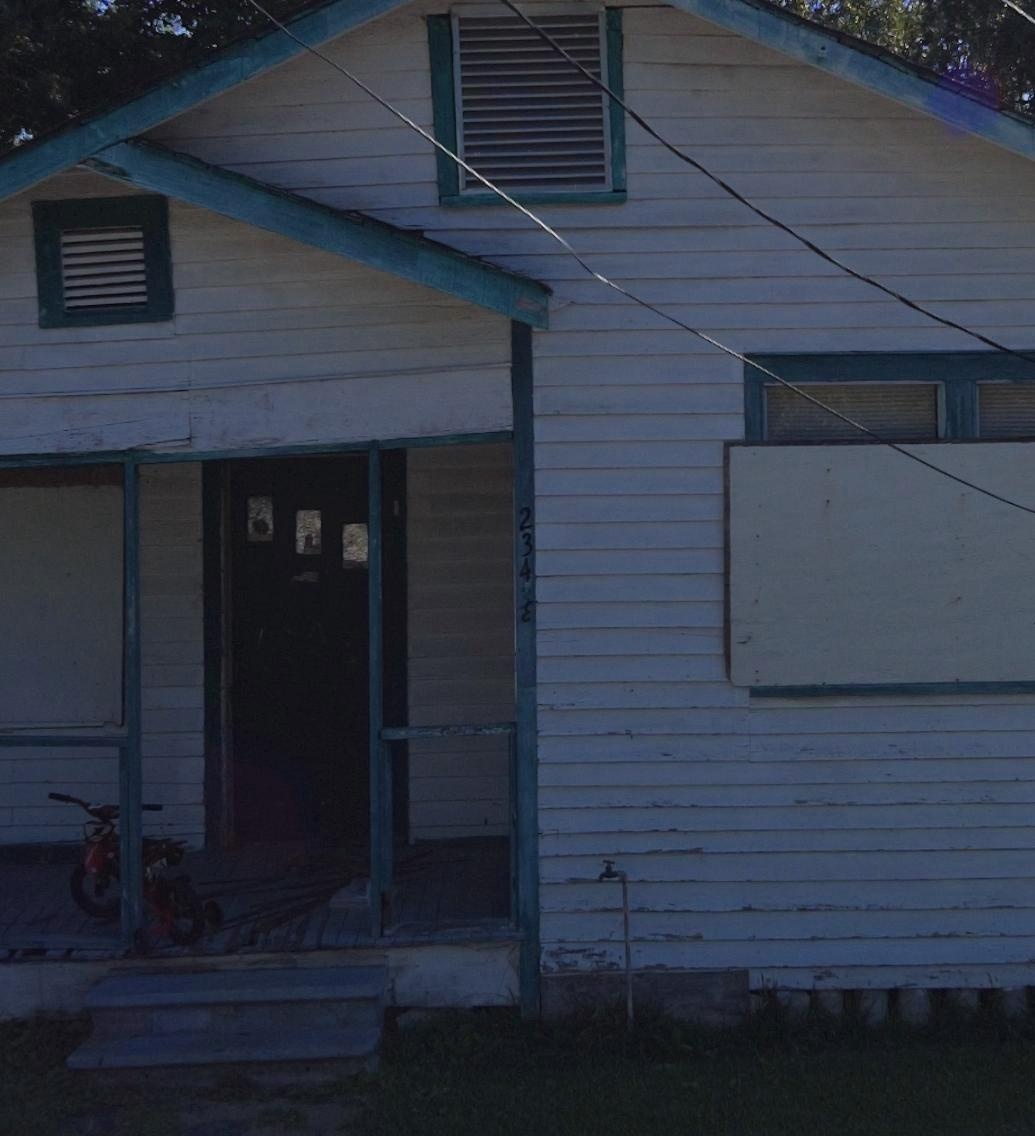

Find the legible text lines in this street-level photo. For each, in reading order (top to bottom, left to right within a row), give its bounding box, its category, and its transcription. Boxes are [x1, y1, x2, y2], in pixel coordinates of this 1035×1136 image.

[517, 506, 535, 585] StreetNumber: 234